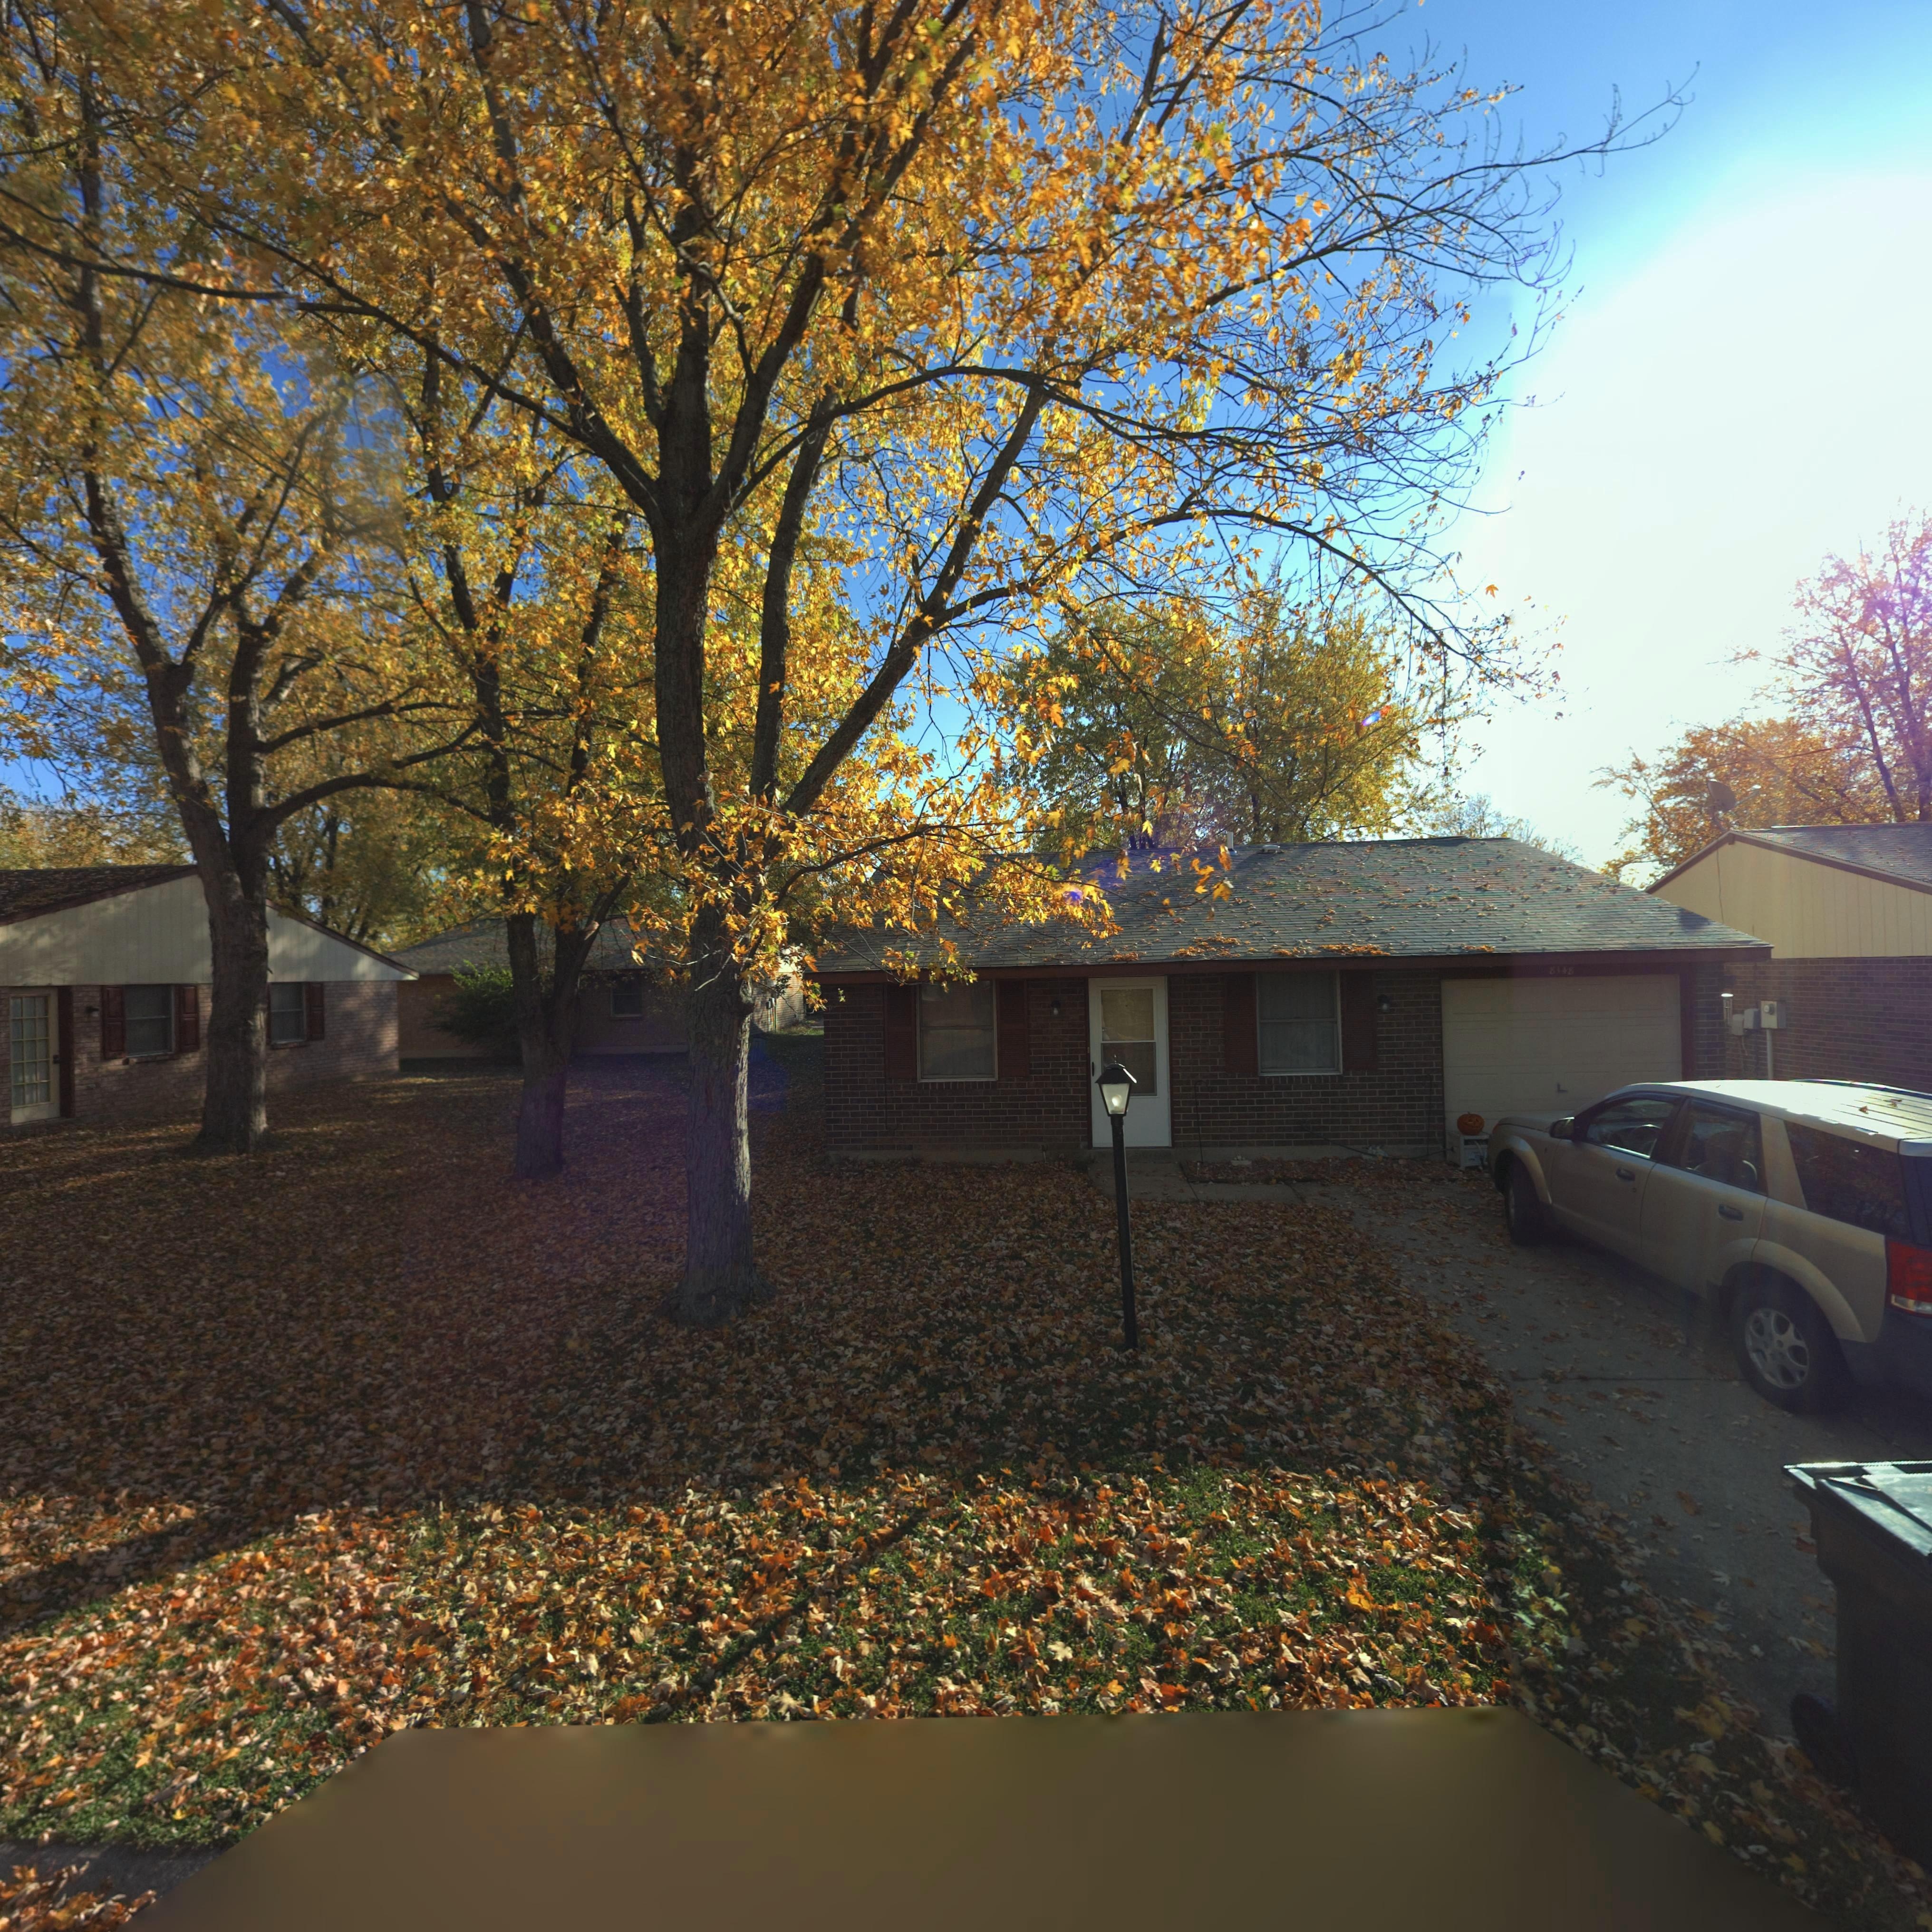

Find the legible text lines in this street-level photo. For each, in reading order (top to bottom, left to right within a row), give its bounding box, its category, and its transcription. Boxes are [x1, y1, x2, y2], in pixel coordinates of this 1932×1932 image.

[1548, 966, 1575, 976] StreetNumber: 8148